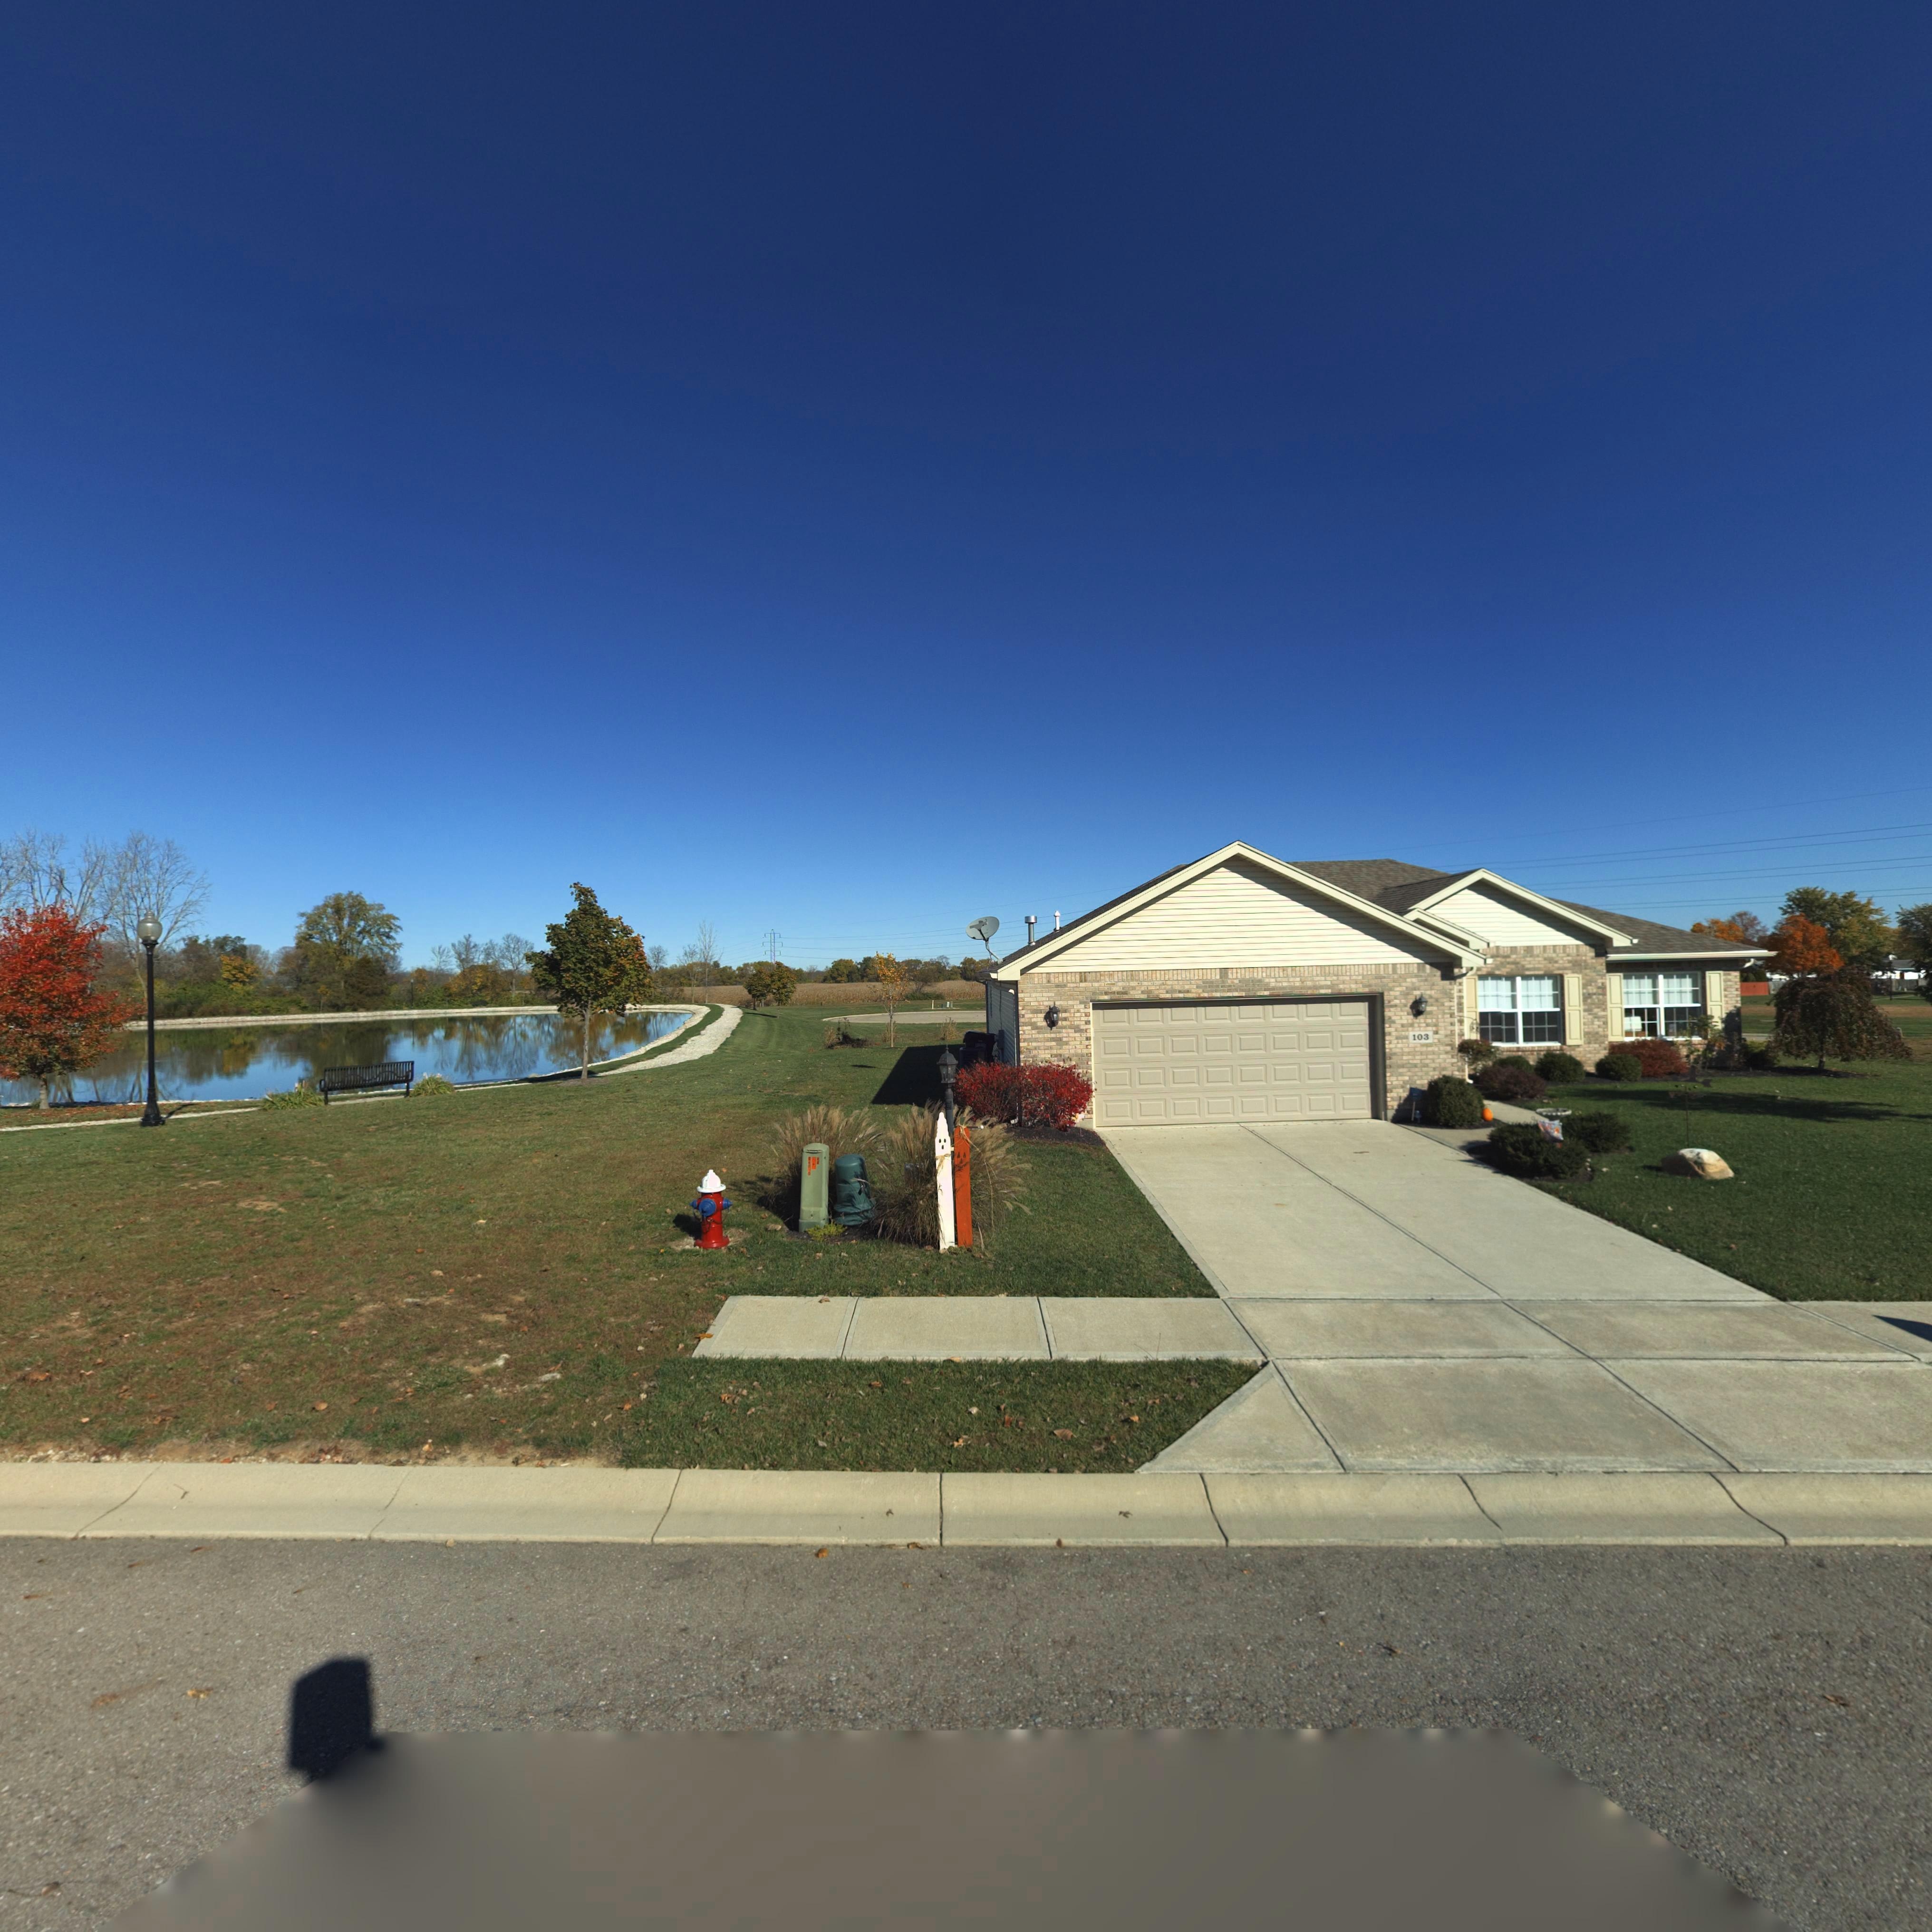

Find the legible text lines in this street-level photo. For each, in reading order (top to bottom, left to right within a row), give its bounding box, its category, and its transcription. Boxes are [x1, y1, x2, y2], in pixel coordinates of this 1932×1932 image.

[1411, 1033, 1430, 1041] StreetNumber: 103